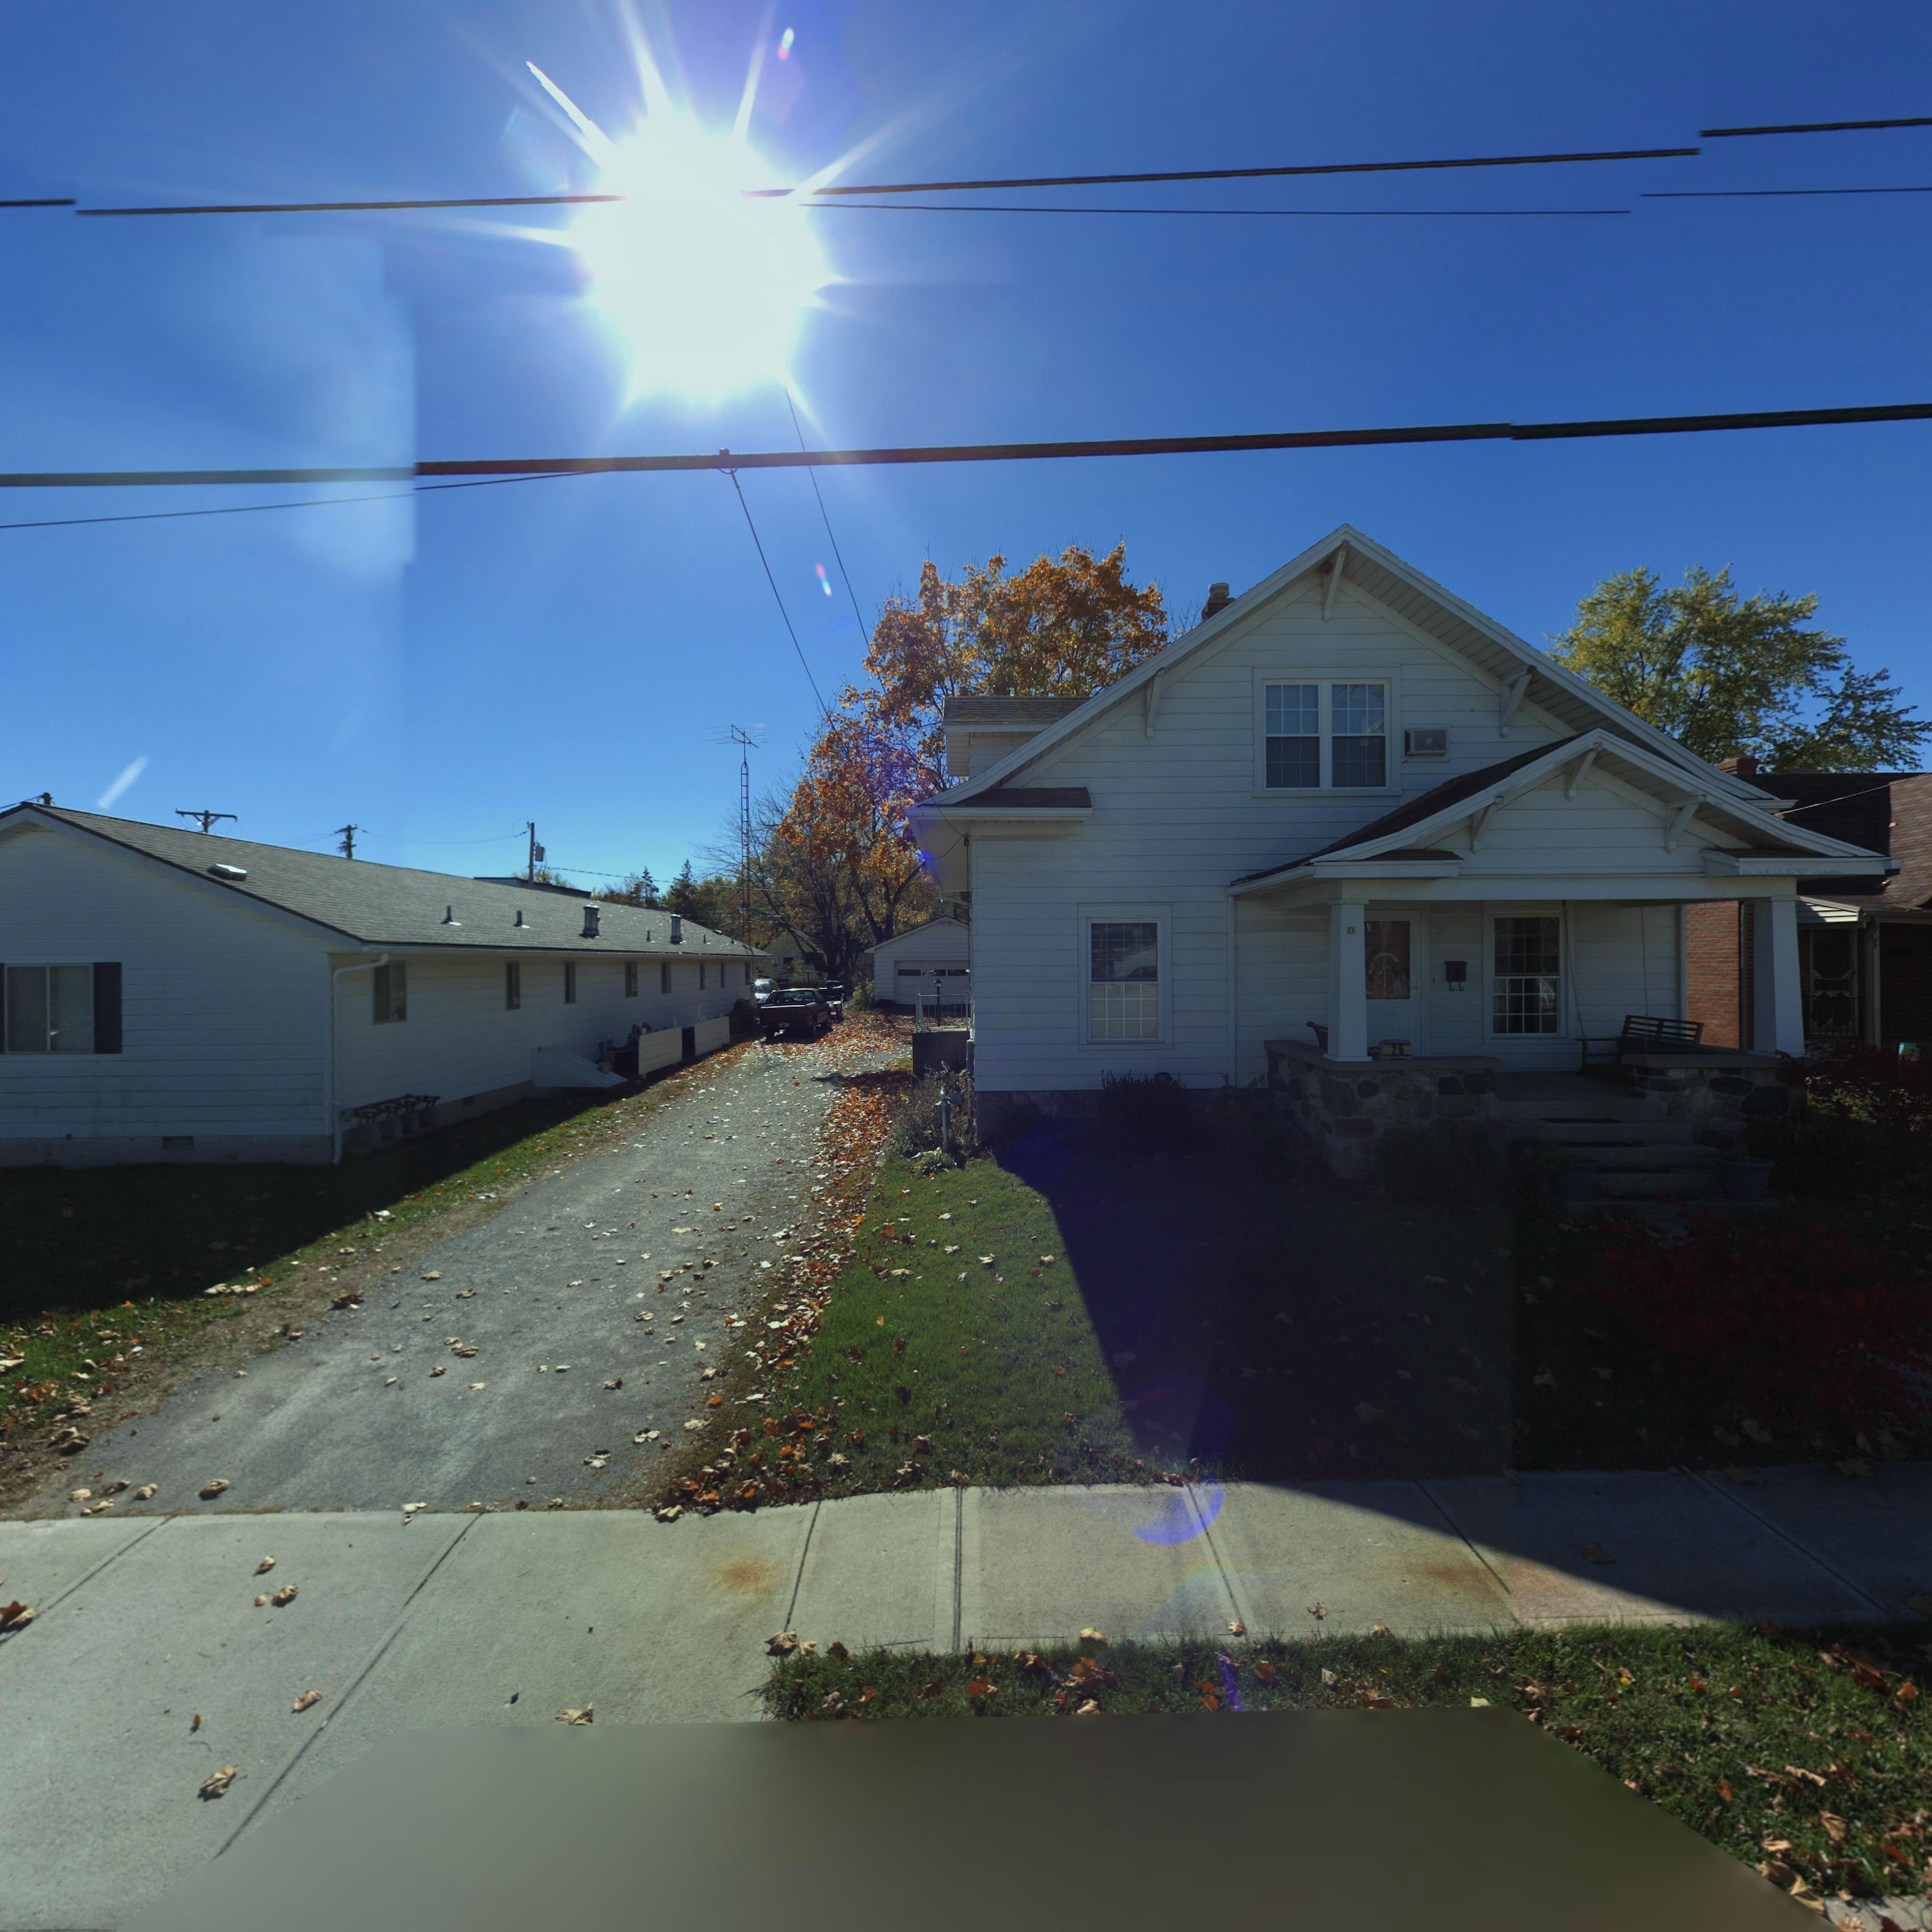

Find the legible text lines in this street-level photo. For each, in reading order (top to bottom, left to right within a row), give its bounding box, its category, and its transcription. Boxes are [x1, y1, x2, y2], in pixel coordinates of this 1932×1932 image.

[1348, 927, 1355, 933] StreetNumber: 26